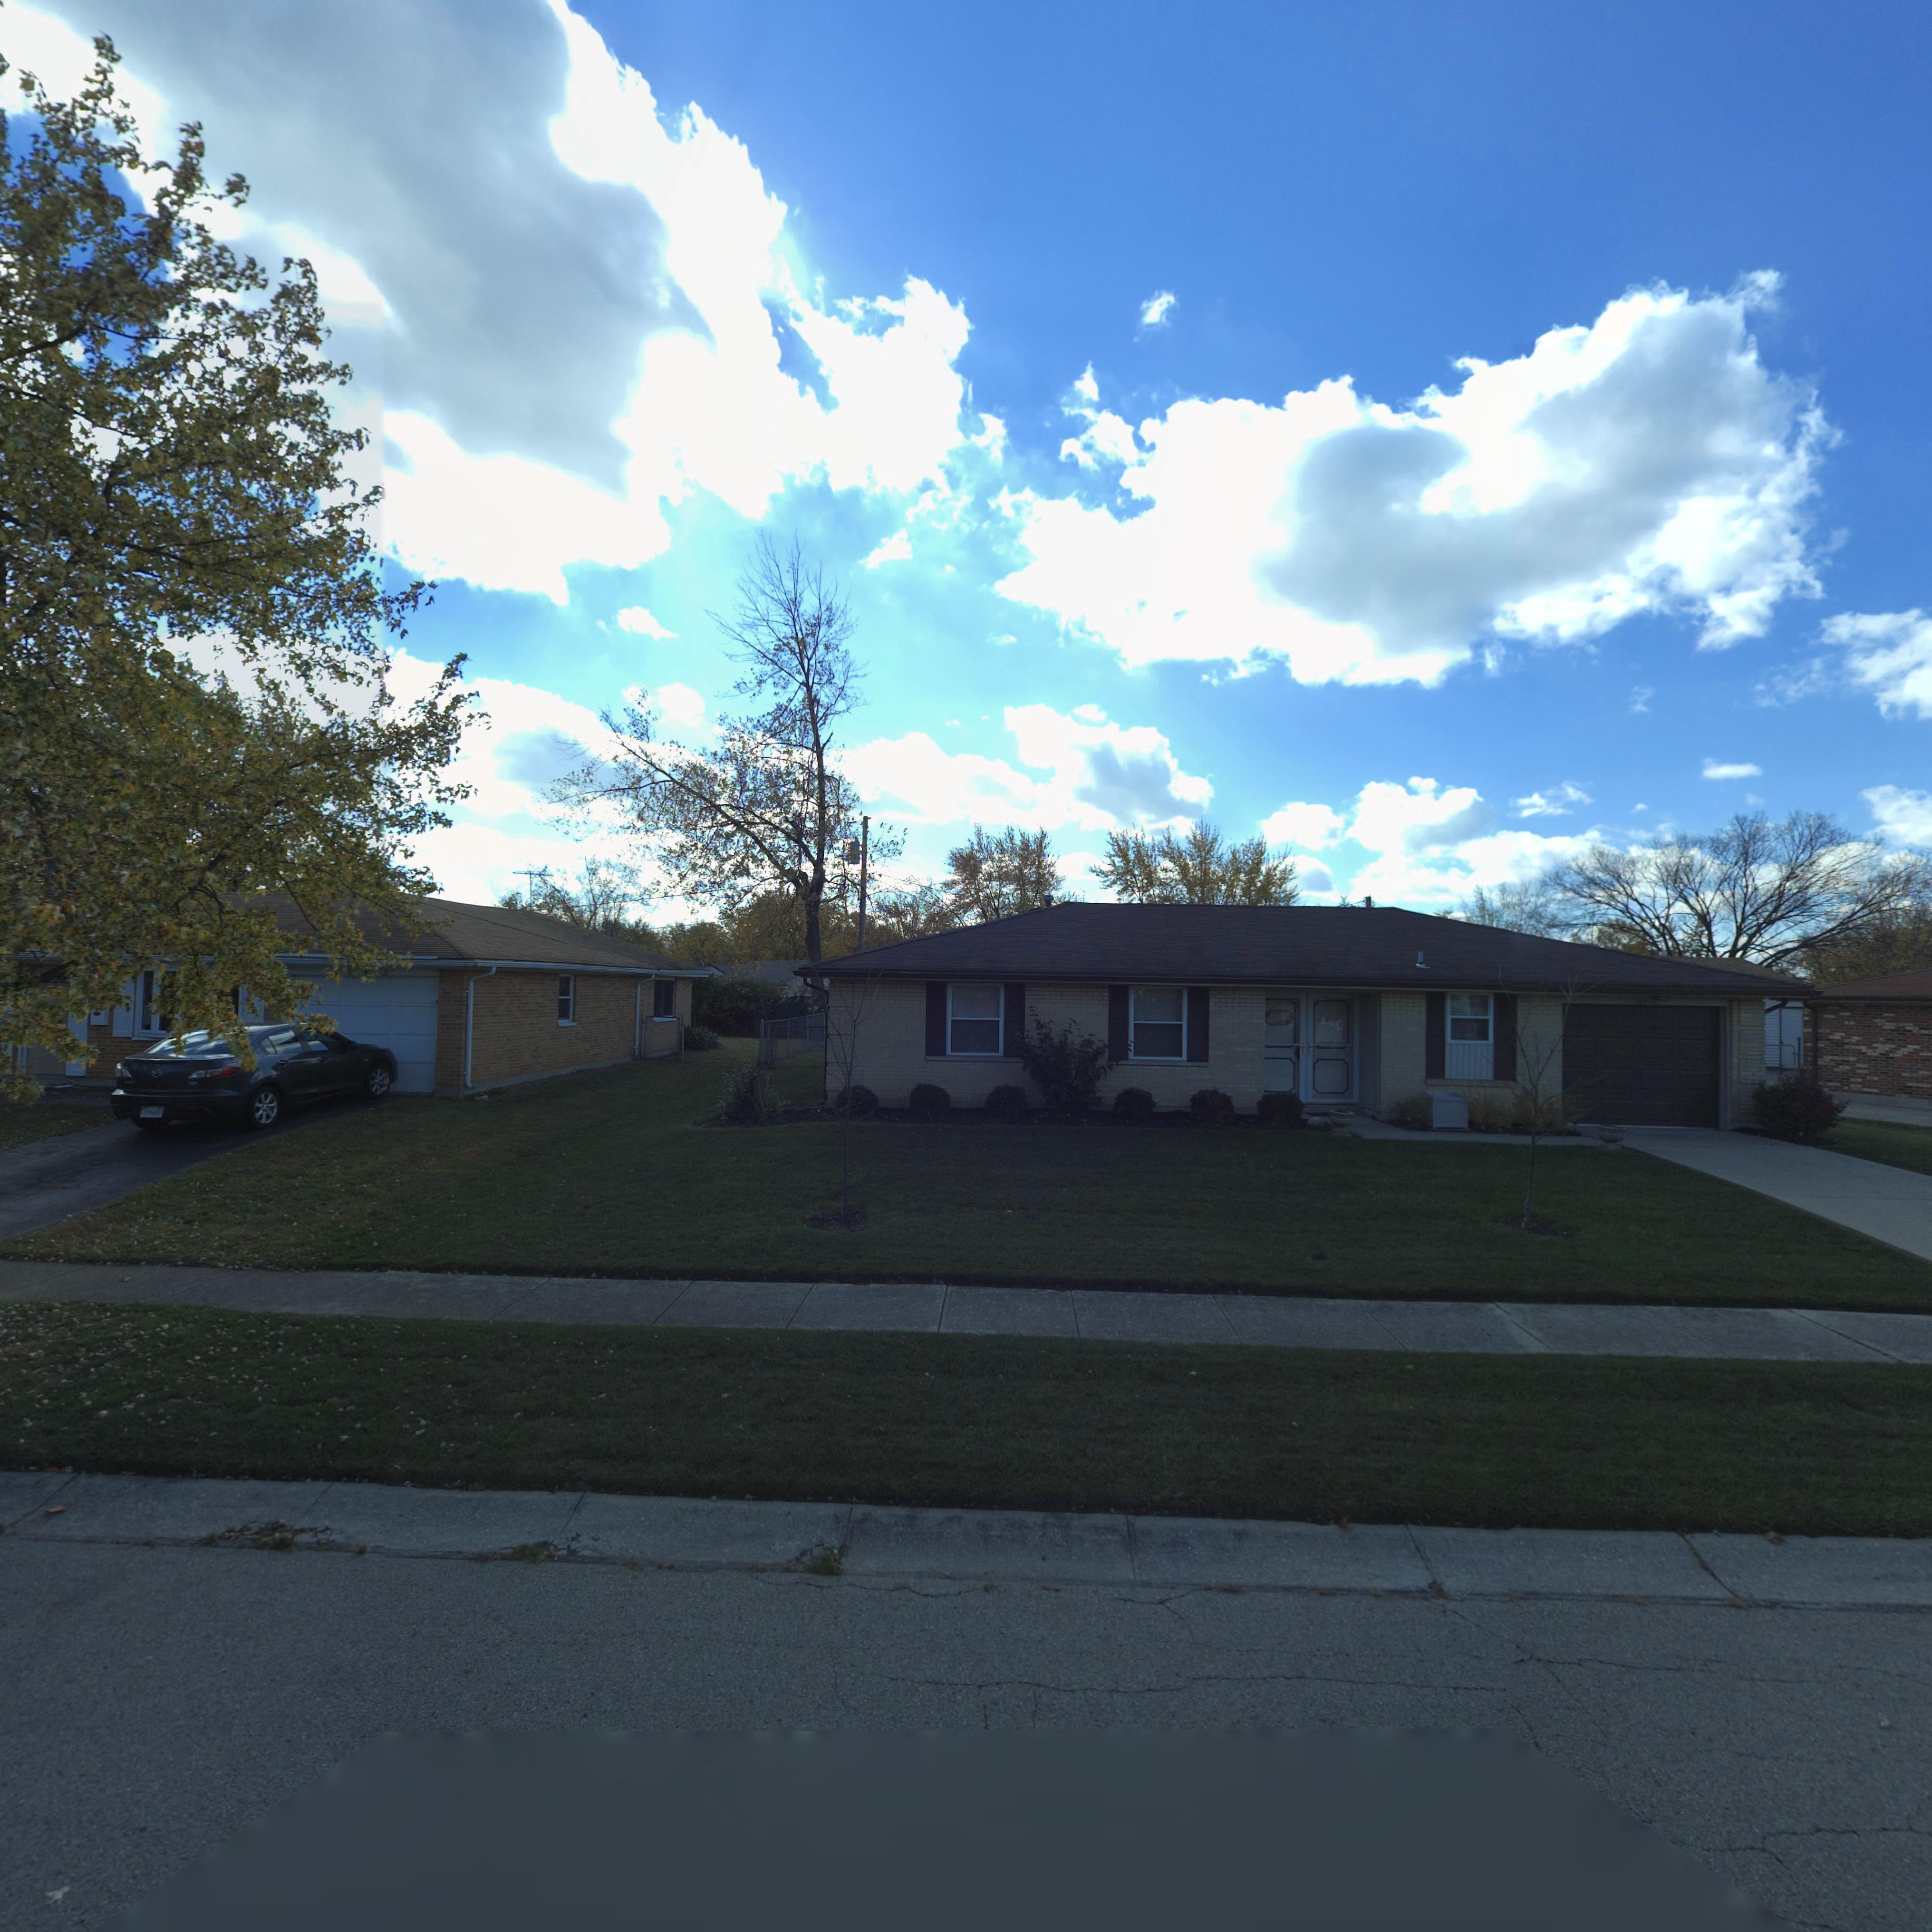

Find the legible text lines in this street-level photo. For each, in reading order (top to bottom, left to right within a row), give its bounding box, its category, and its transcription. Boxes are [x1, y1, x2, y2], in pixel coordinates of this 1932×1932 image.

[384, 968, 389, 976] StreetNumber: 0
[1637, 996, 1658, 1005] StreetNumber: 6***